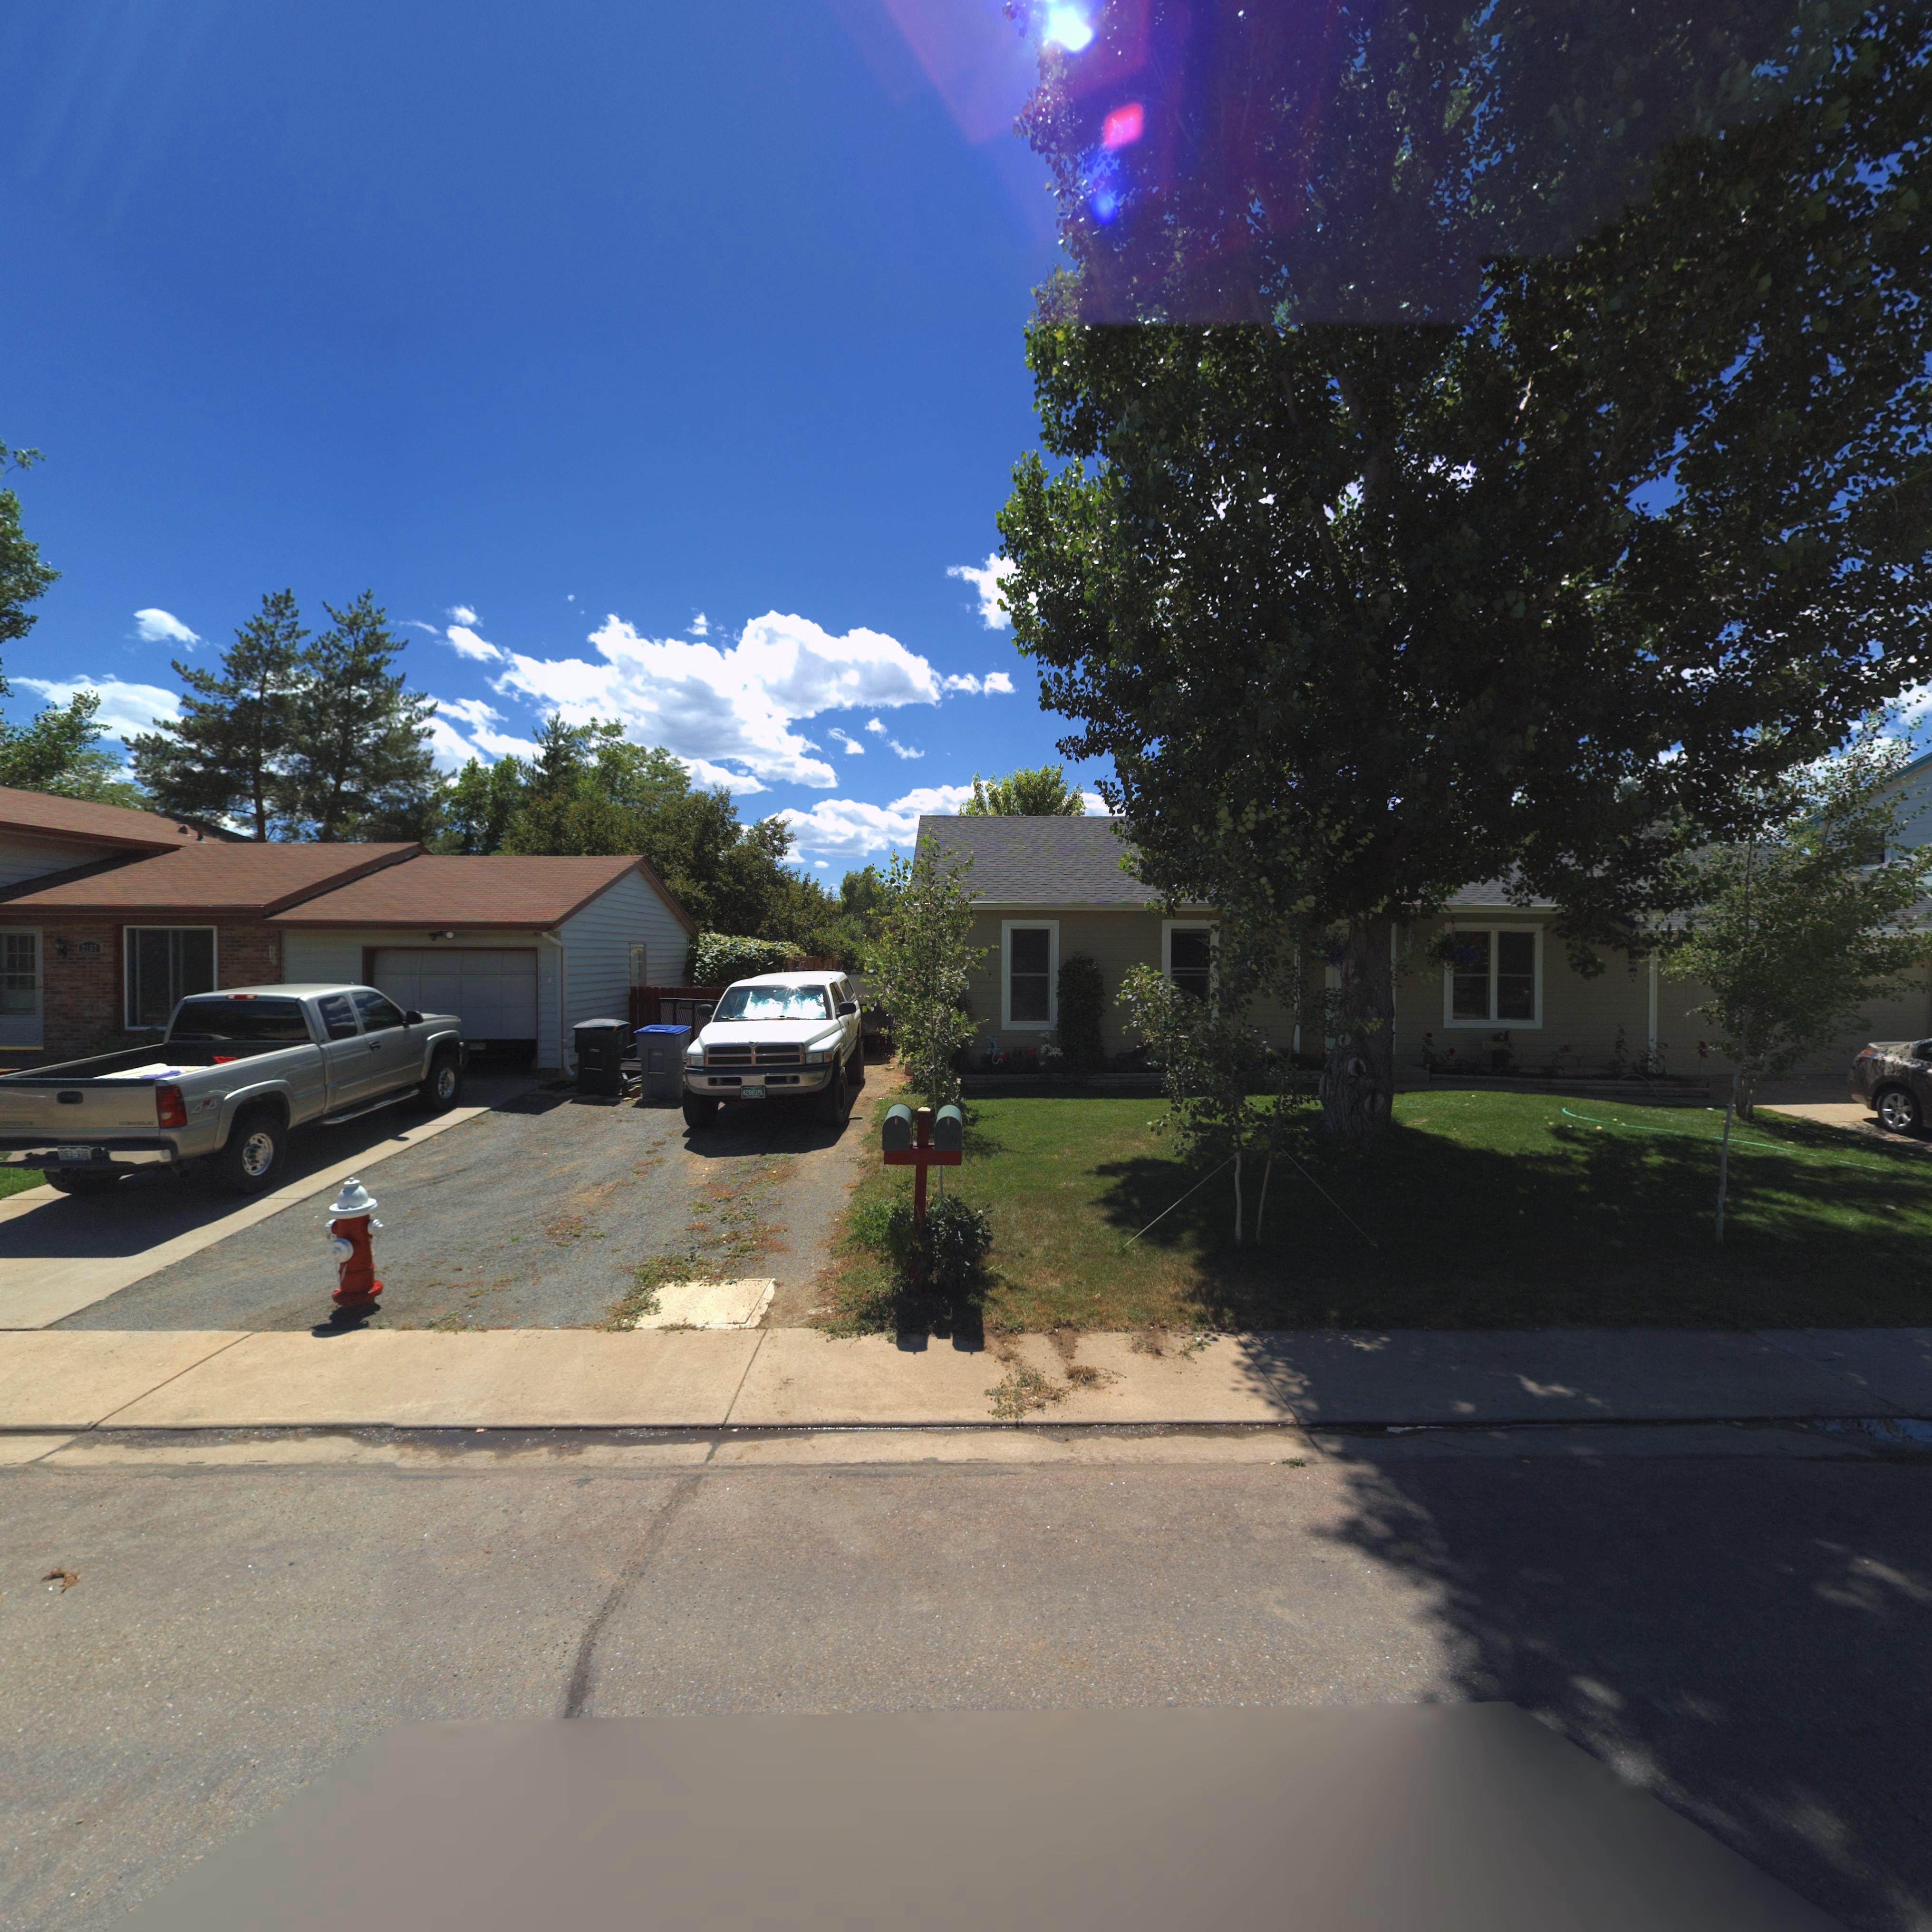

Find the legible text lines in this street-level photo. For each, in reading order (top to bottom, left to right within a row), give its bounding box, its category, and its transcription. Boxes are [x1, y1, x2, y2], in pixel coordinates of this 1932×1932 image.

[81, 944, 97, 952] StreetNumber: 2157*